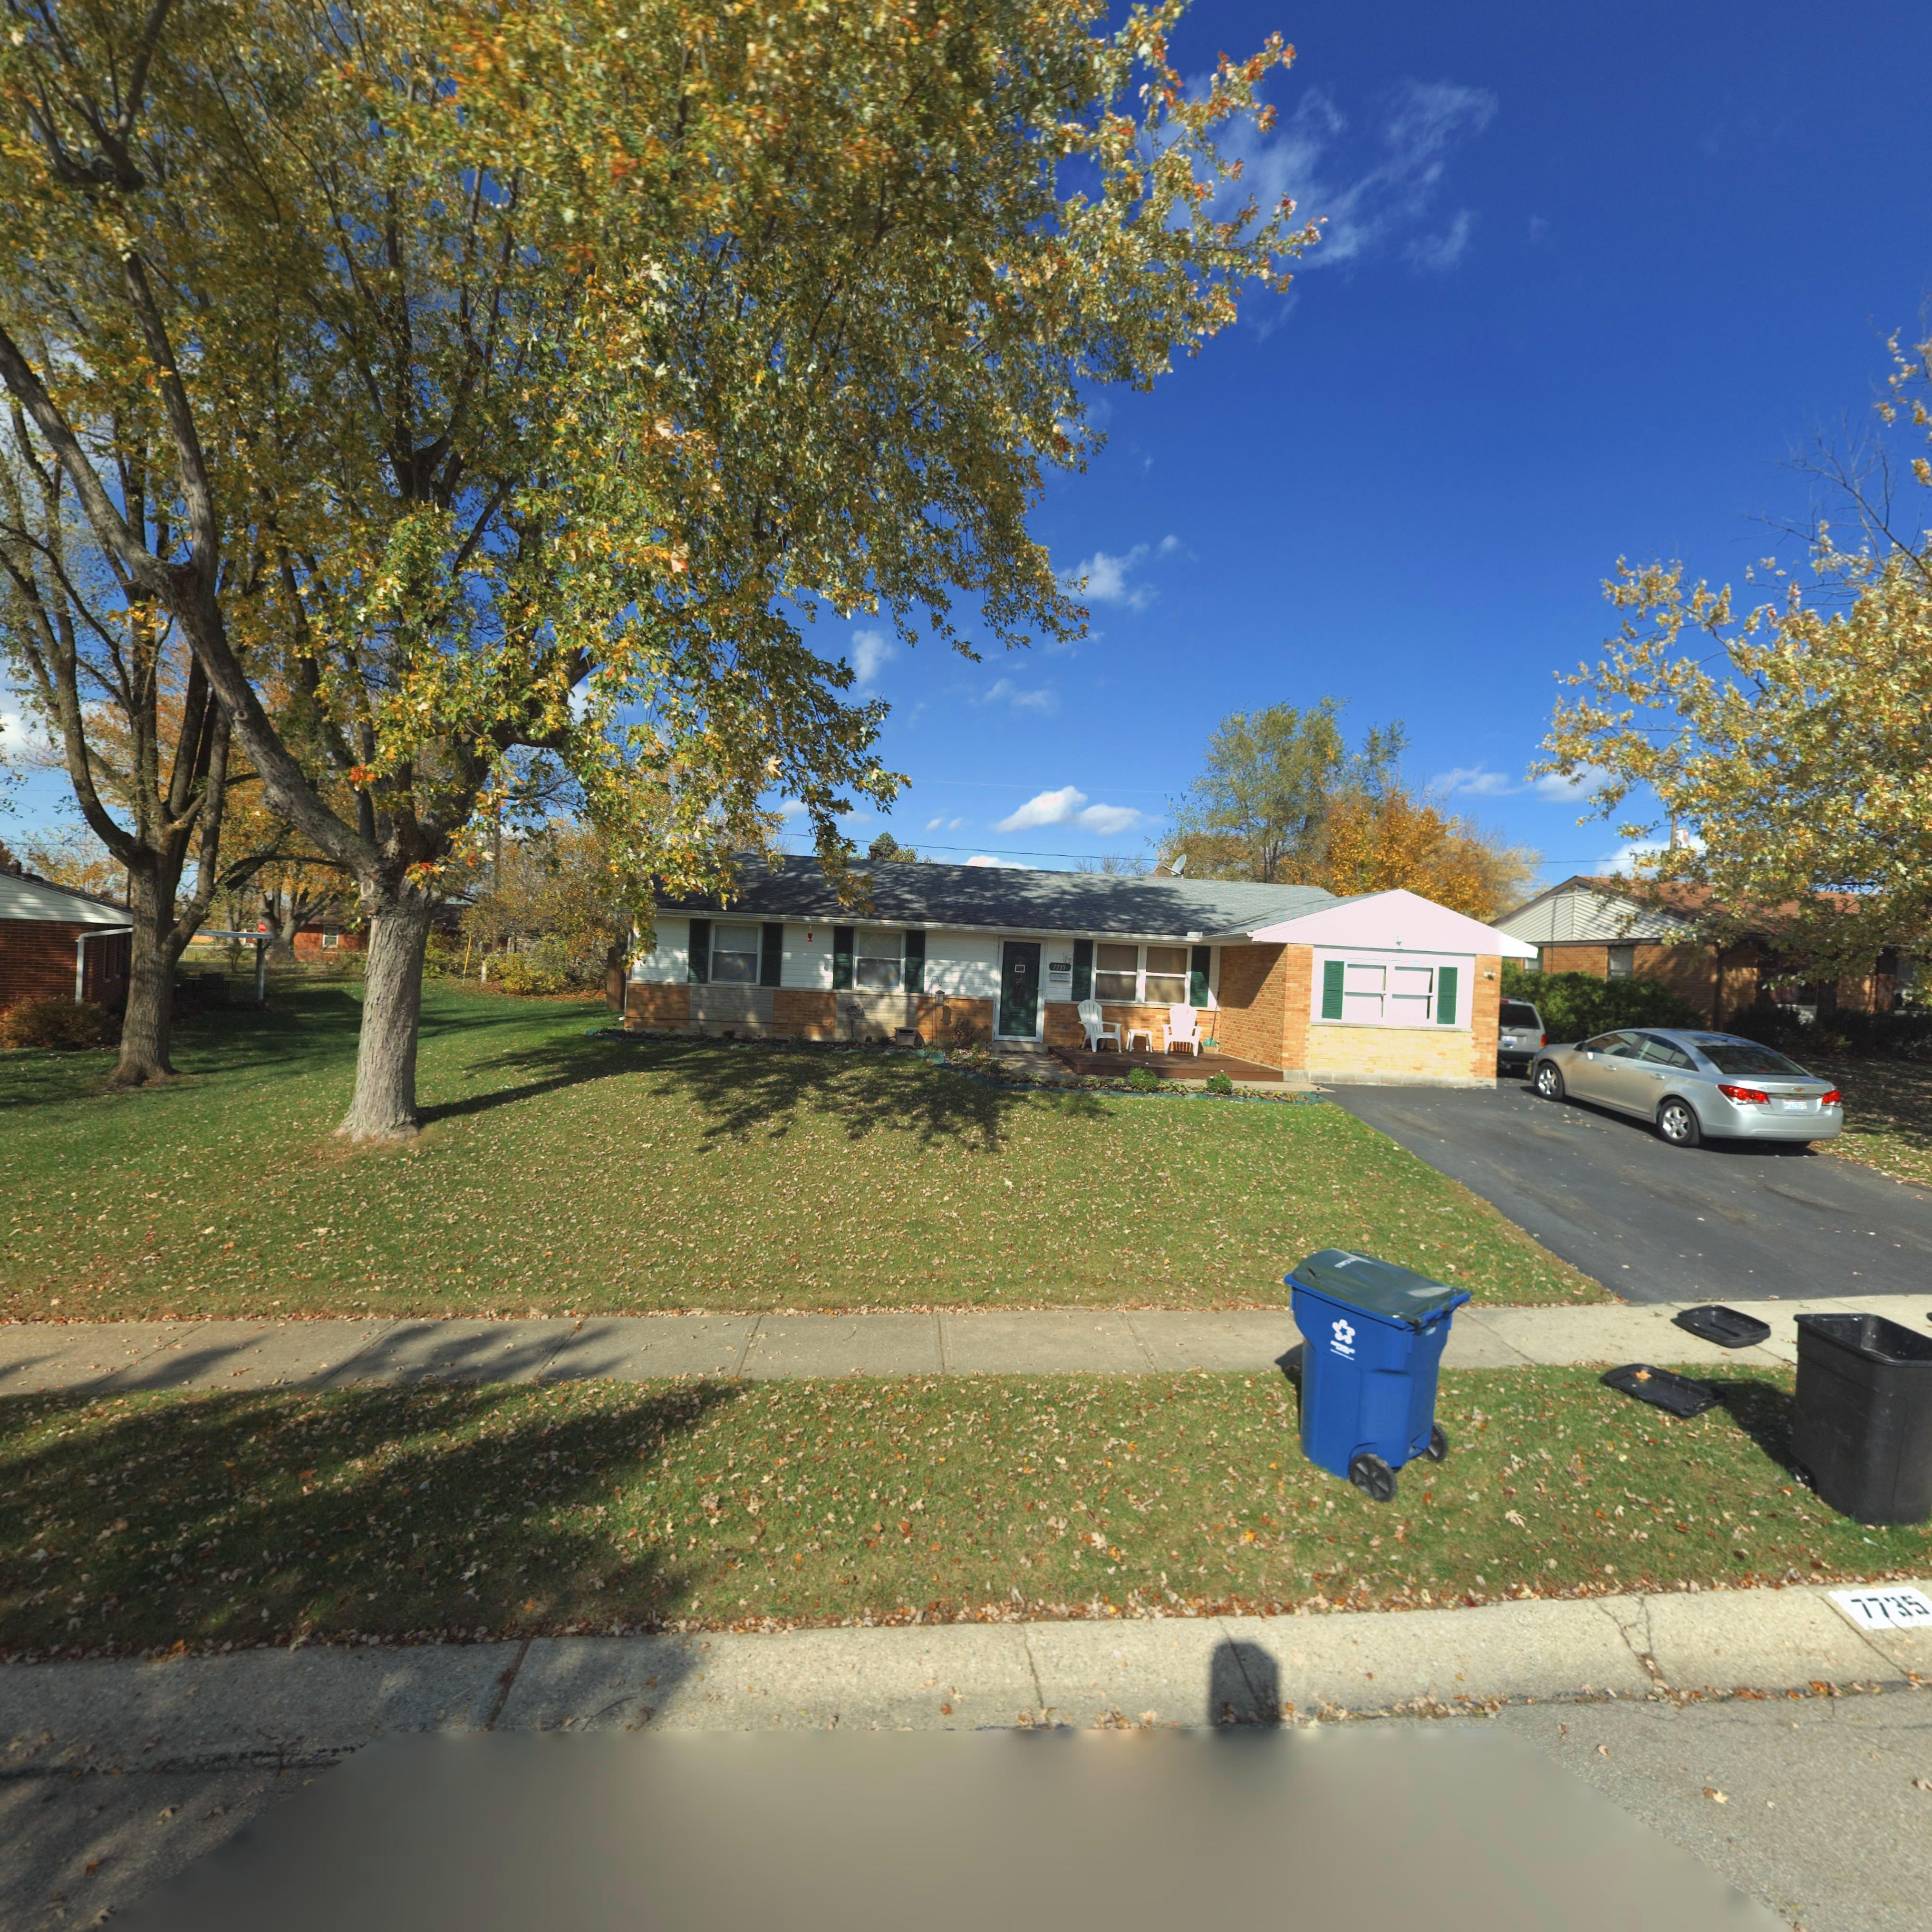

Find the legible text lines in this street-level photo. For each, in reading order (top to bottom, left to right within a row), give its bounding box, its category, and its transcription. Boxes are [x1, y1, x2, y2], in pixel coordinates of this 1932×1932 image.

[1053, 964, 1066, 970] StreetNumber: 7735
[1848, 1595, 1932, 1620] StreetNumber: 7735